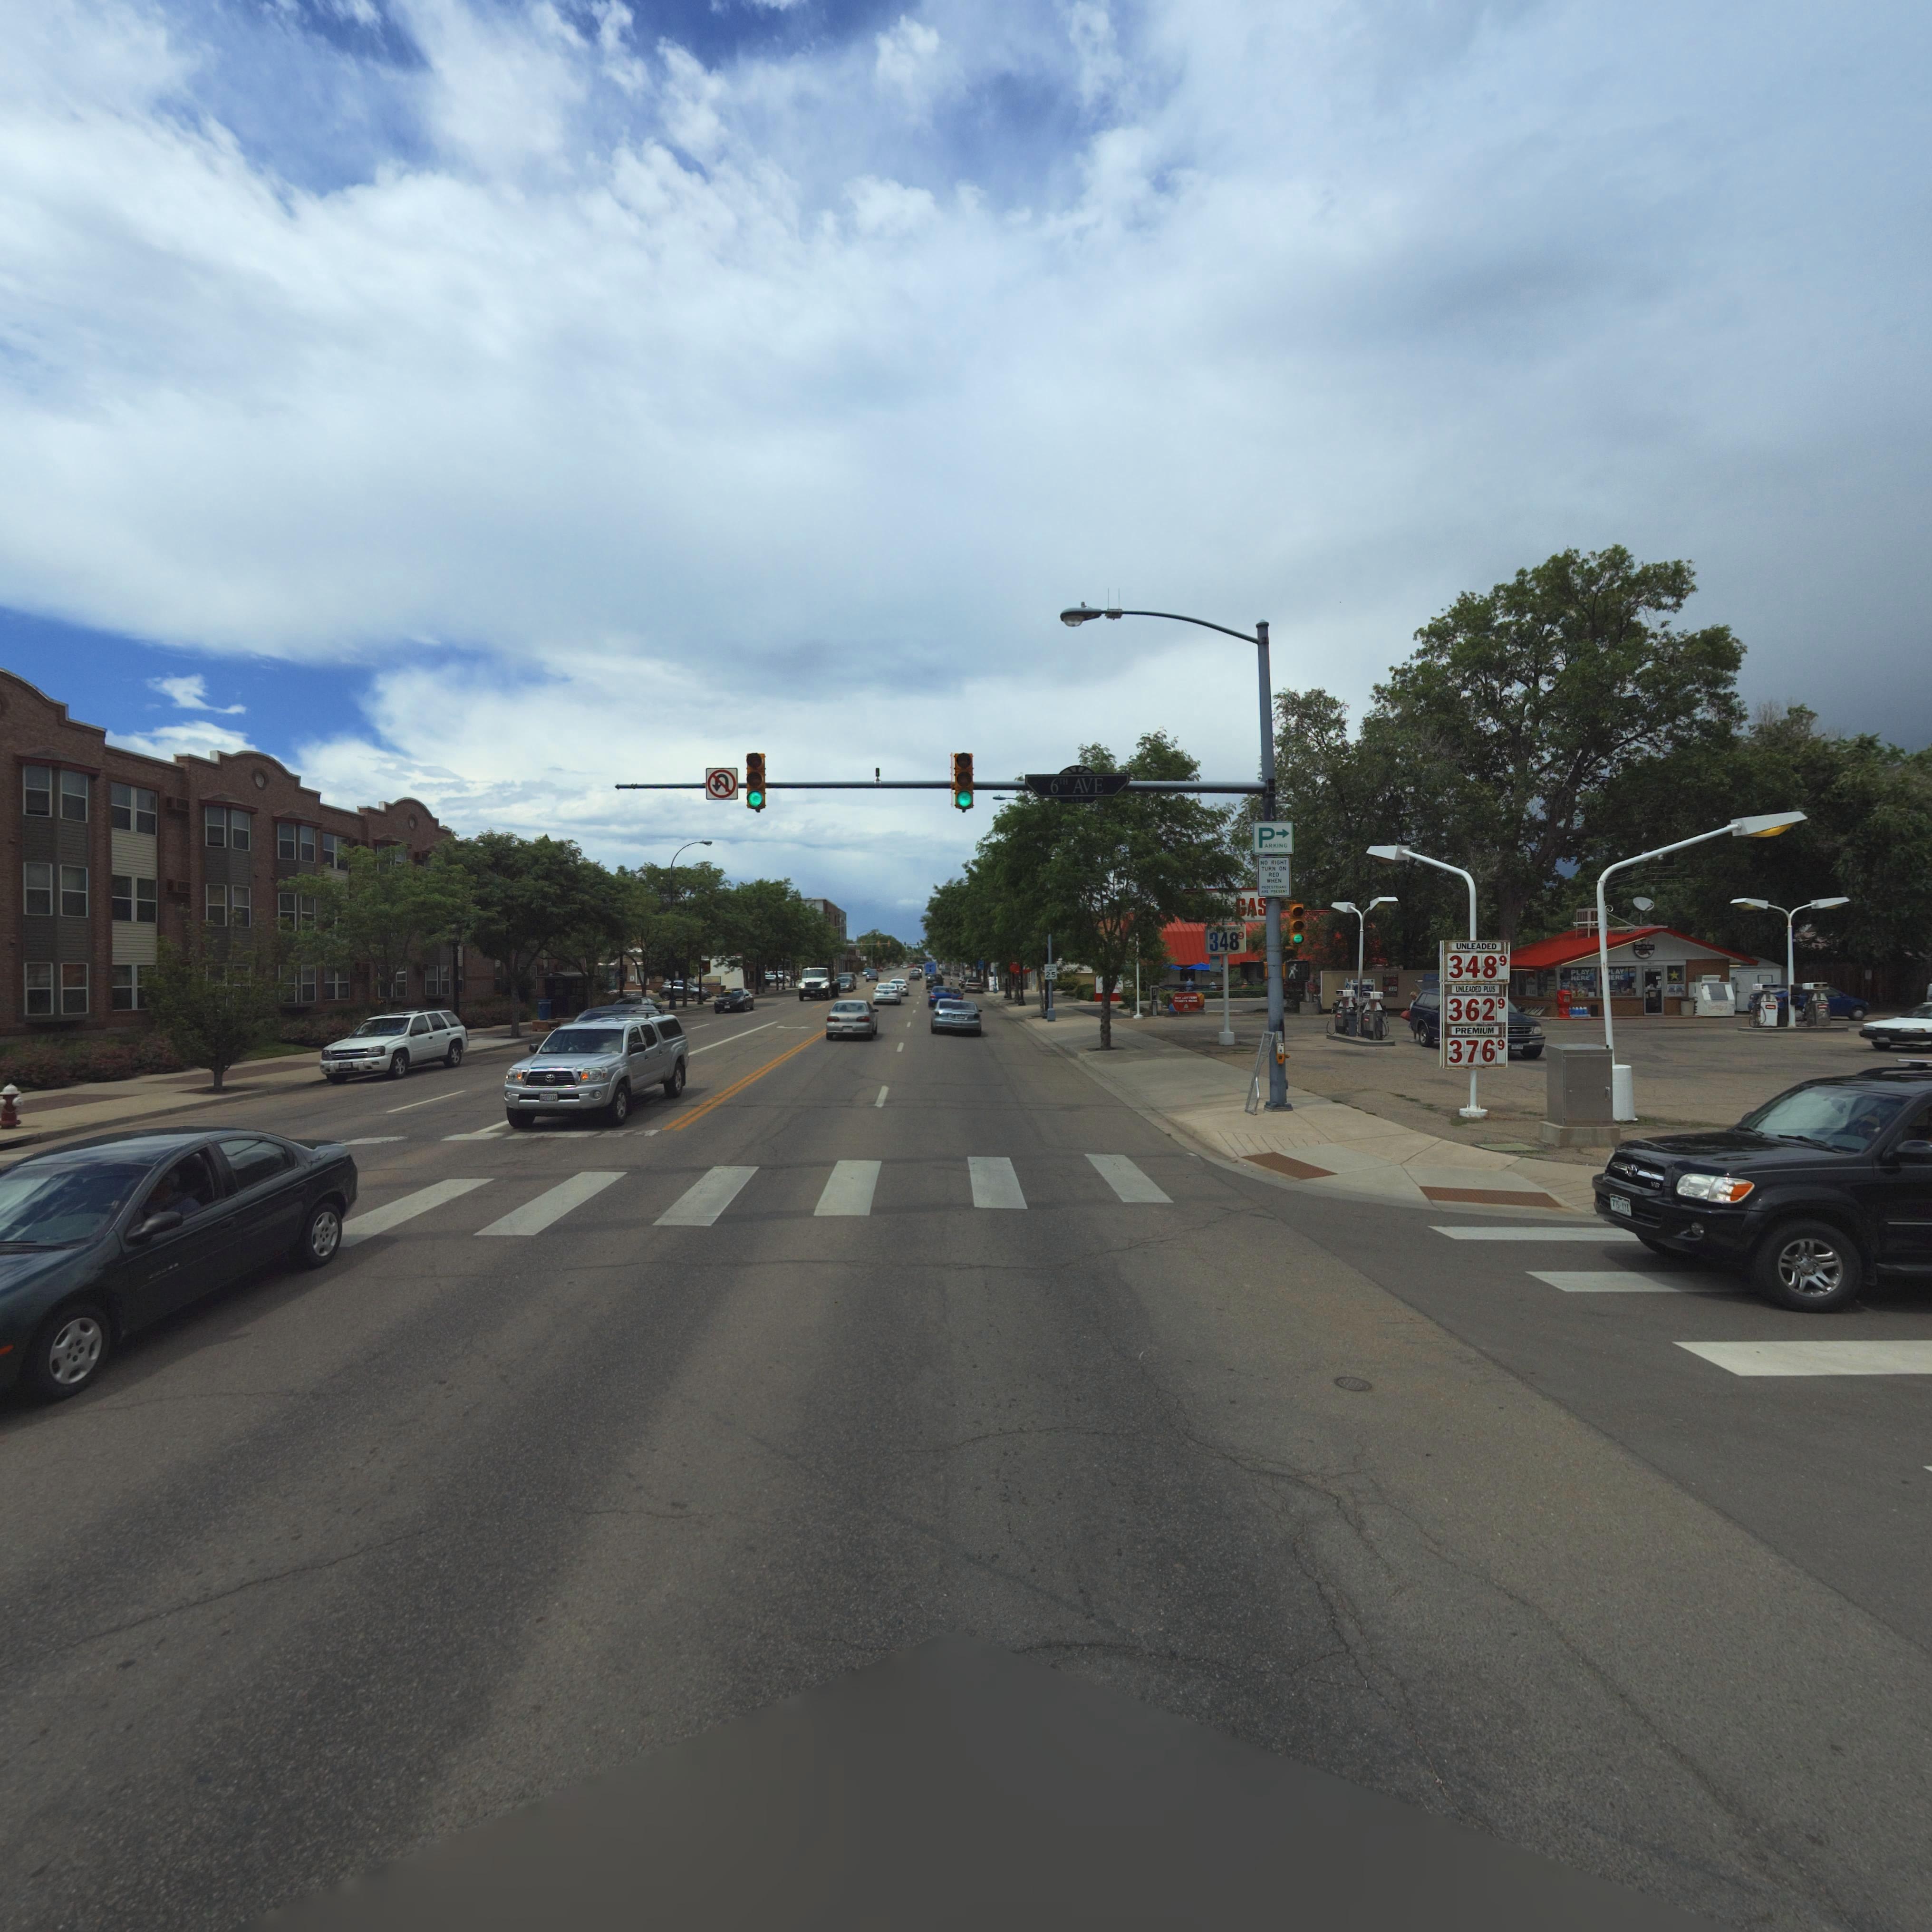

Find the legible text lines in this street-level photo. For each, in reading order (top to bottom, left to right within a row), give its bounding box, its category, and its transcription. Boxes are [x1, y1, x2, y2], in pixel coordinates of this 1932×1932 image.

[1049, 777, 1104, 794] StreetName: 6TH AVE
[1071, 796, 1084, 802] StreetNumberRange: 600